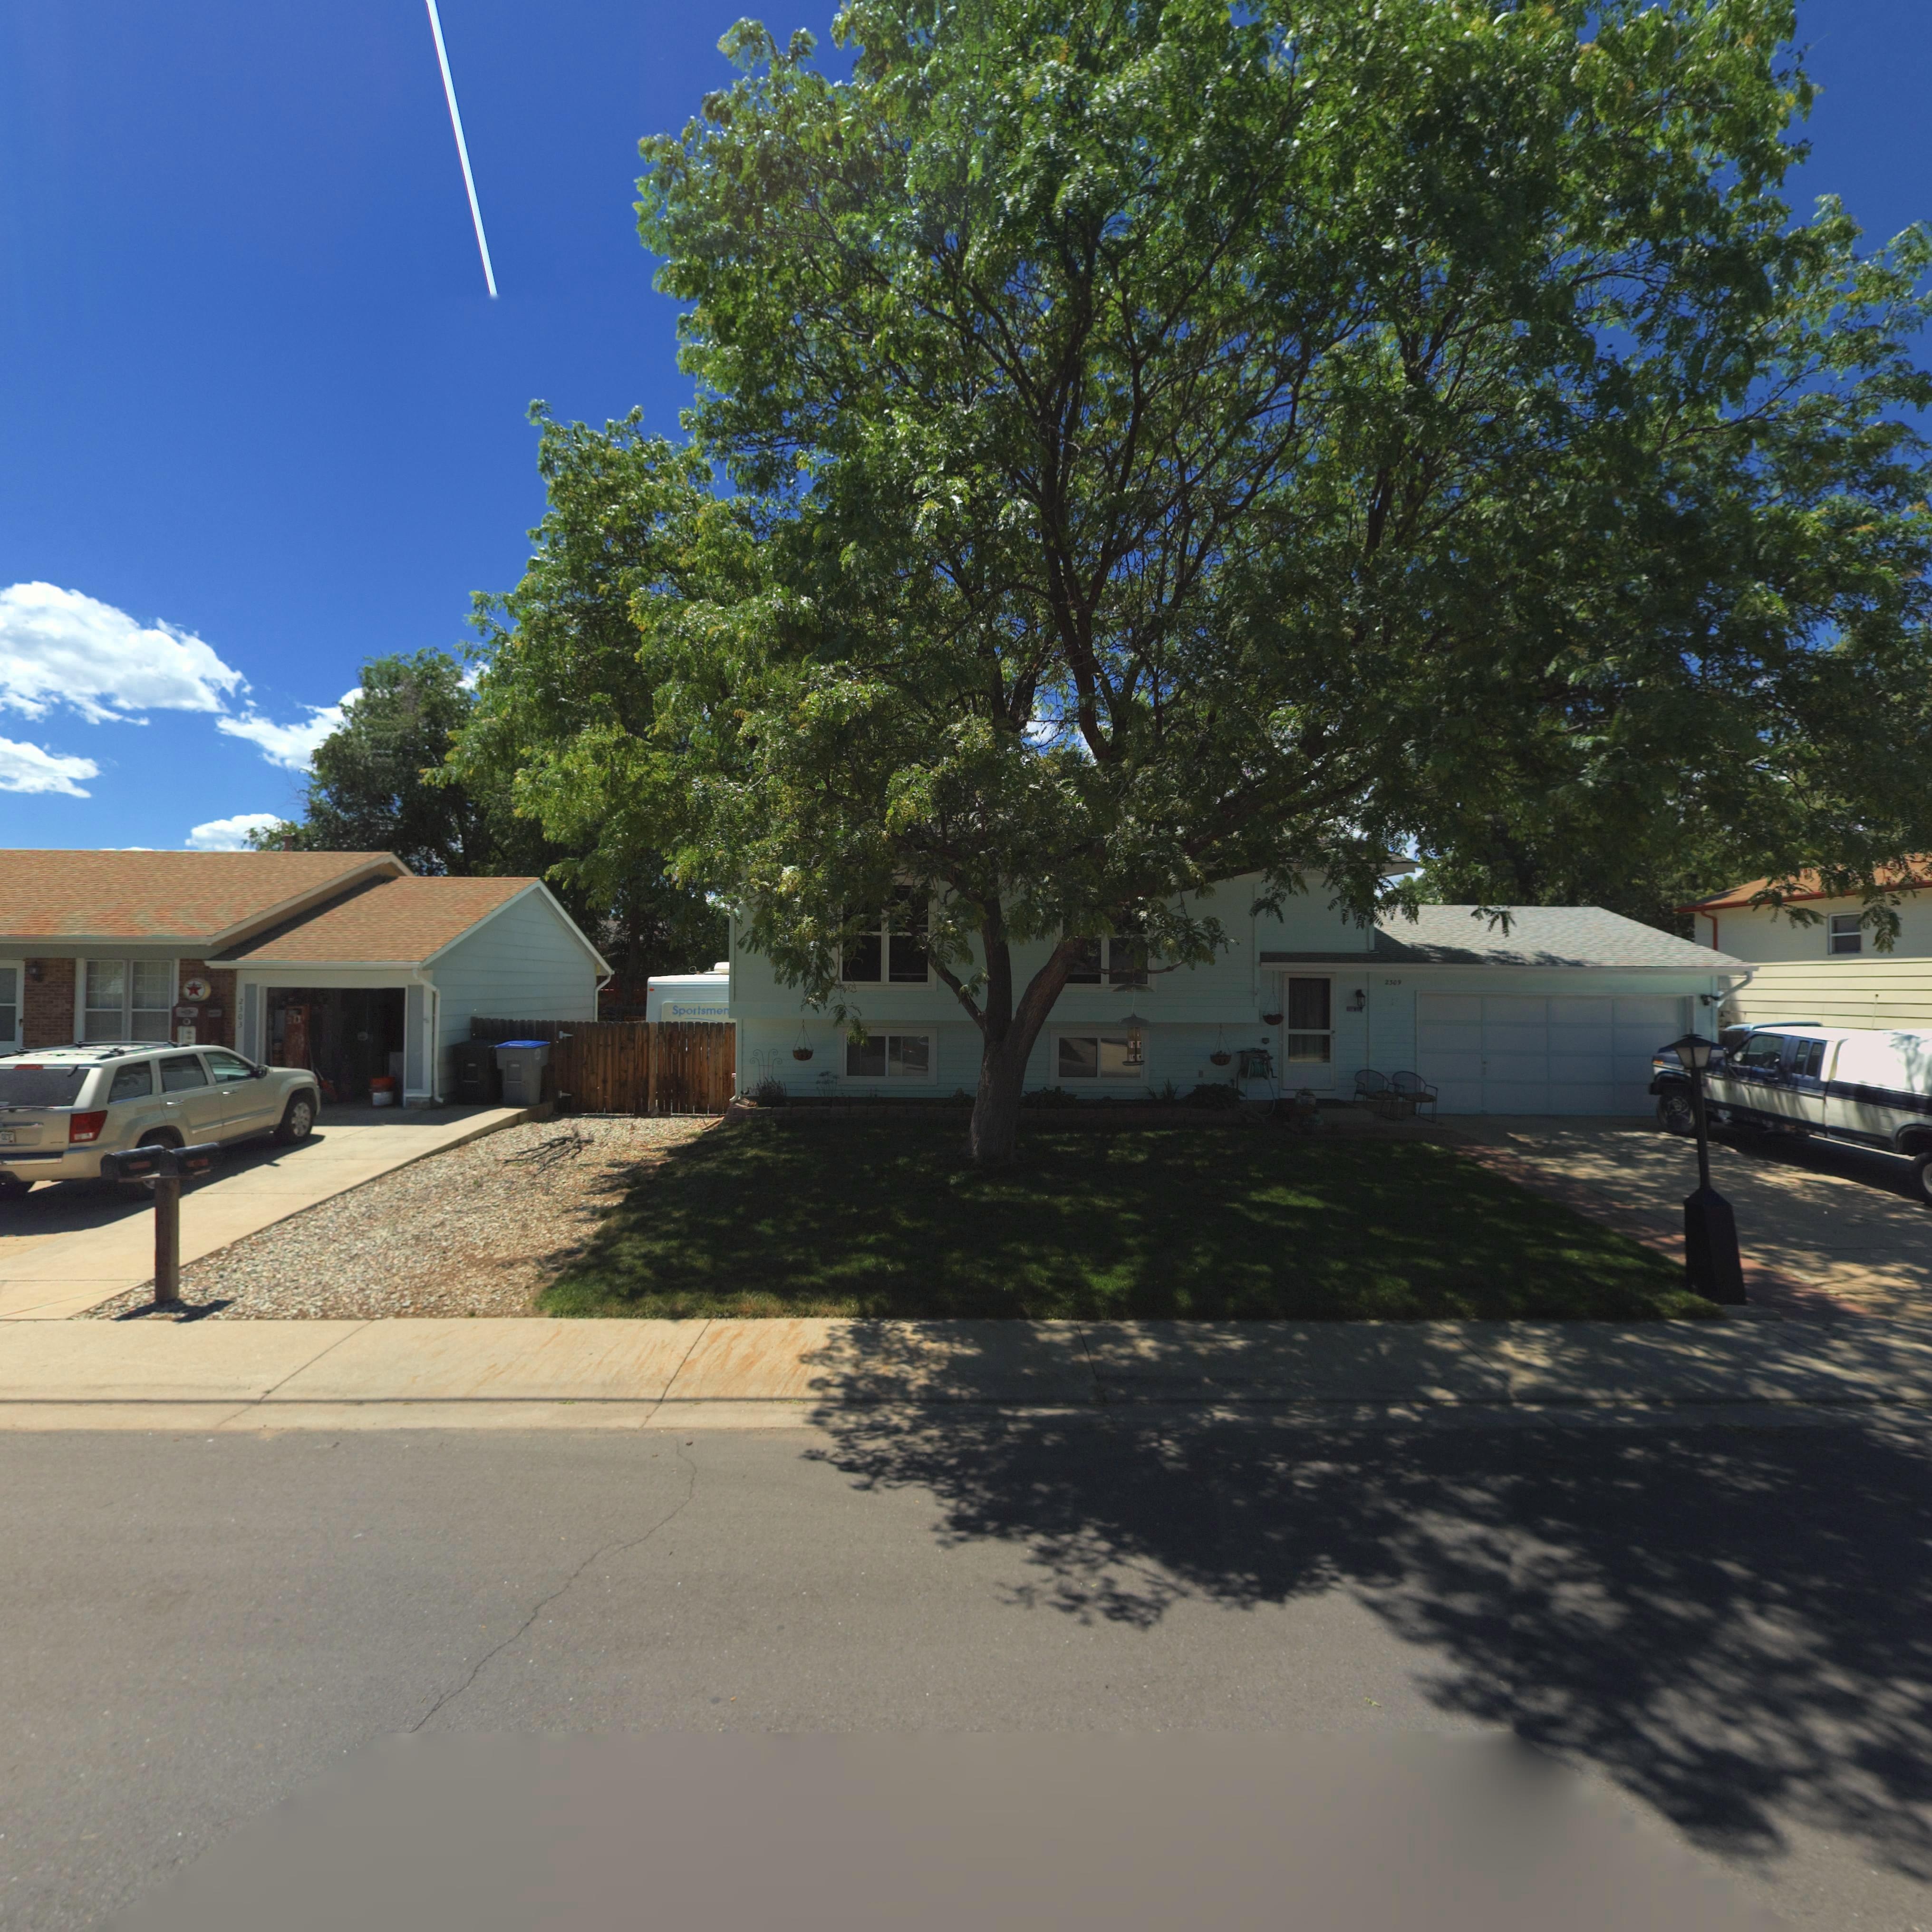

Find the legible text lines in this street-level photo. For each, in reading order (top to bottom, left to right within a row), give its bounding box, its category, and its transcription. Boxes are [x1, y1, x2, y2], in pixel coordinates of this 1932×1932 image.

[1384, 979, 1402, 985] StreetNumber: 2309
[237, 997, 243, 1029] StreetNumber: 2303